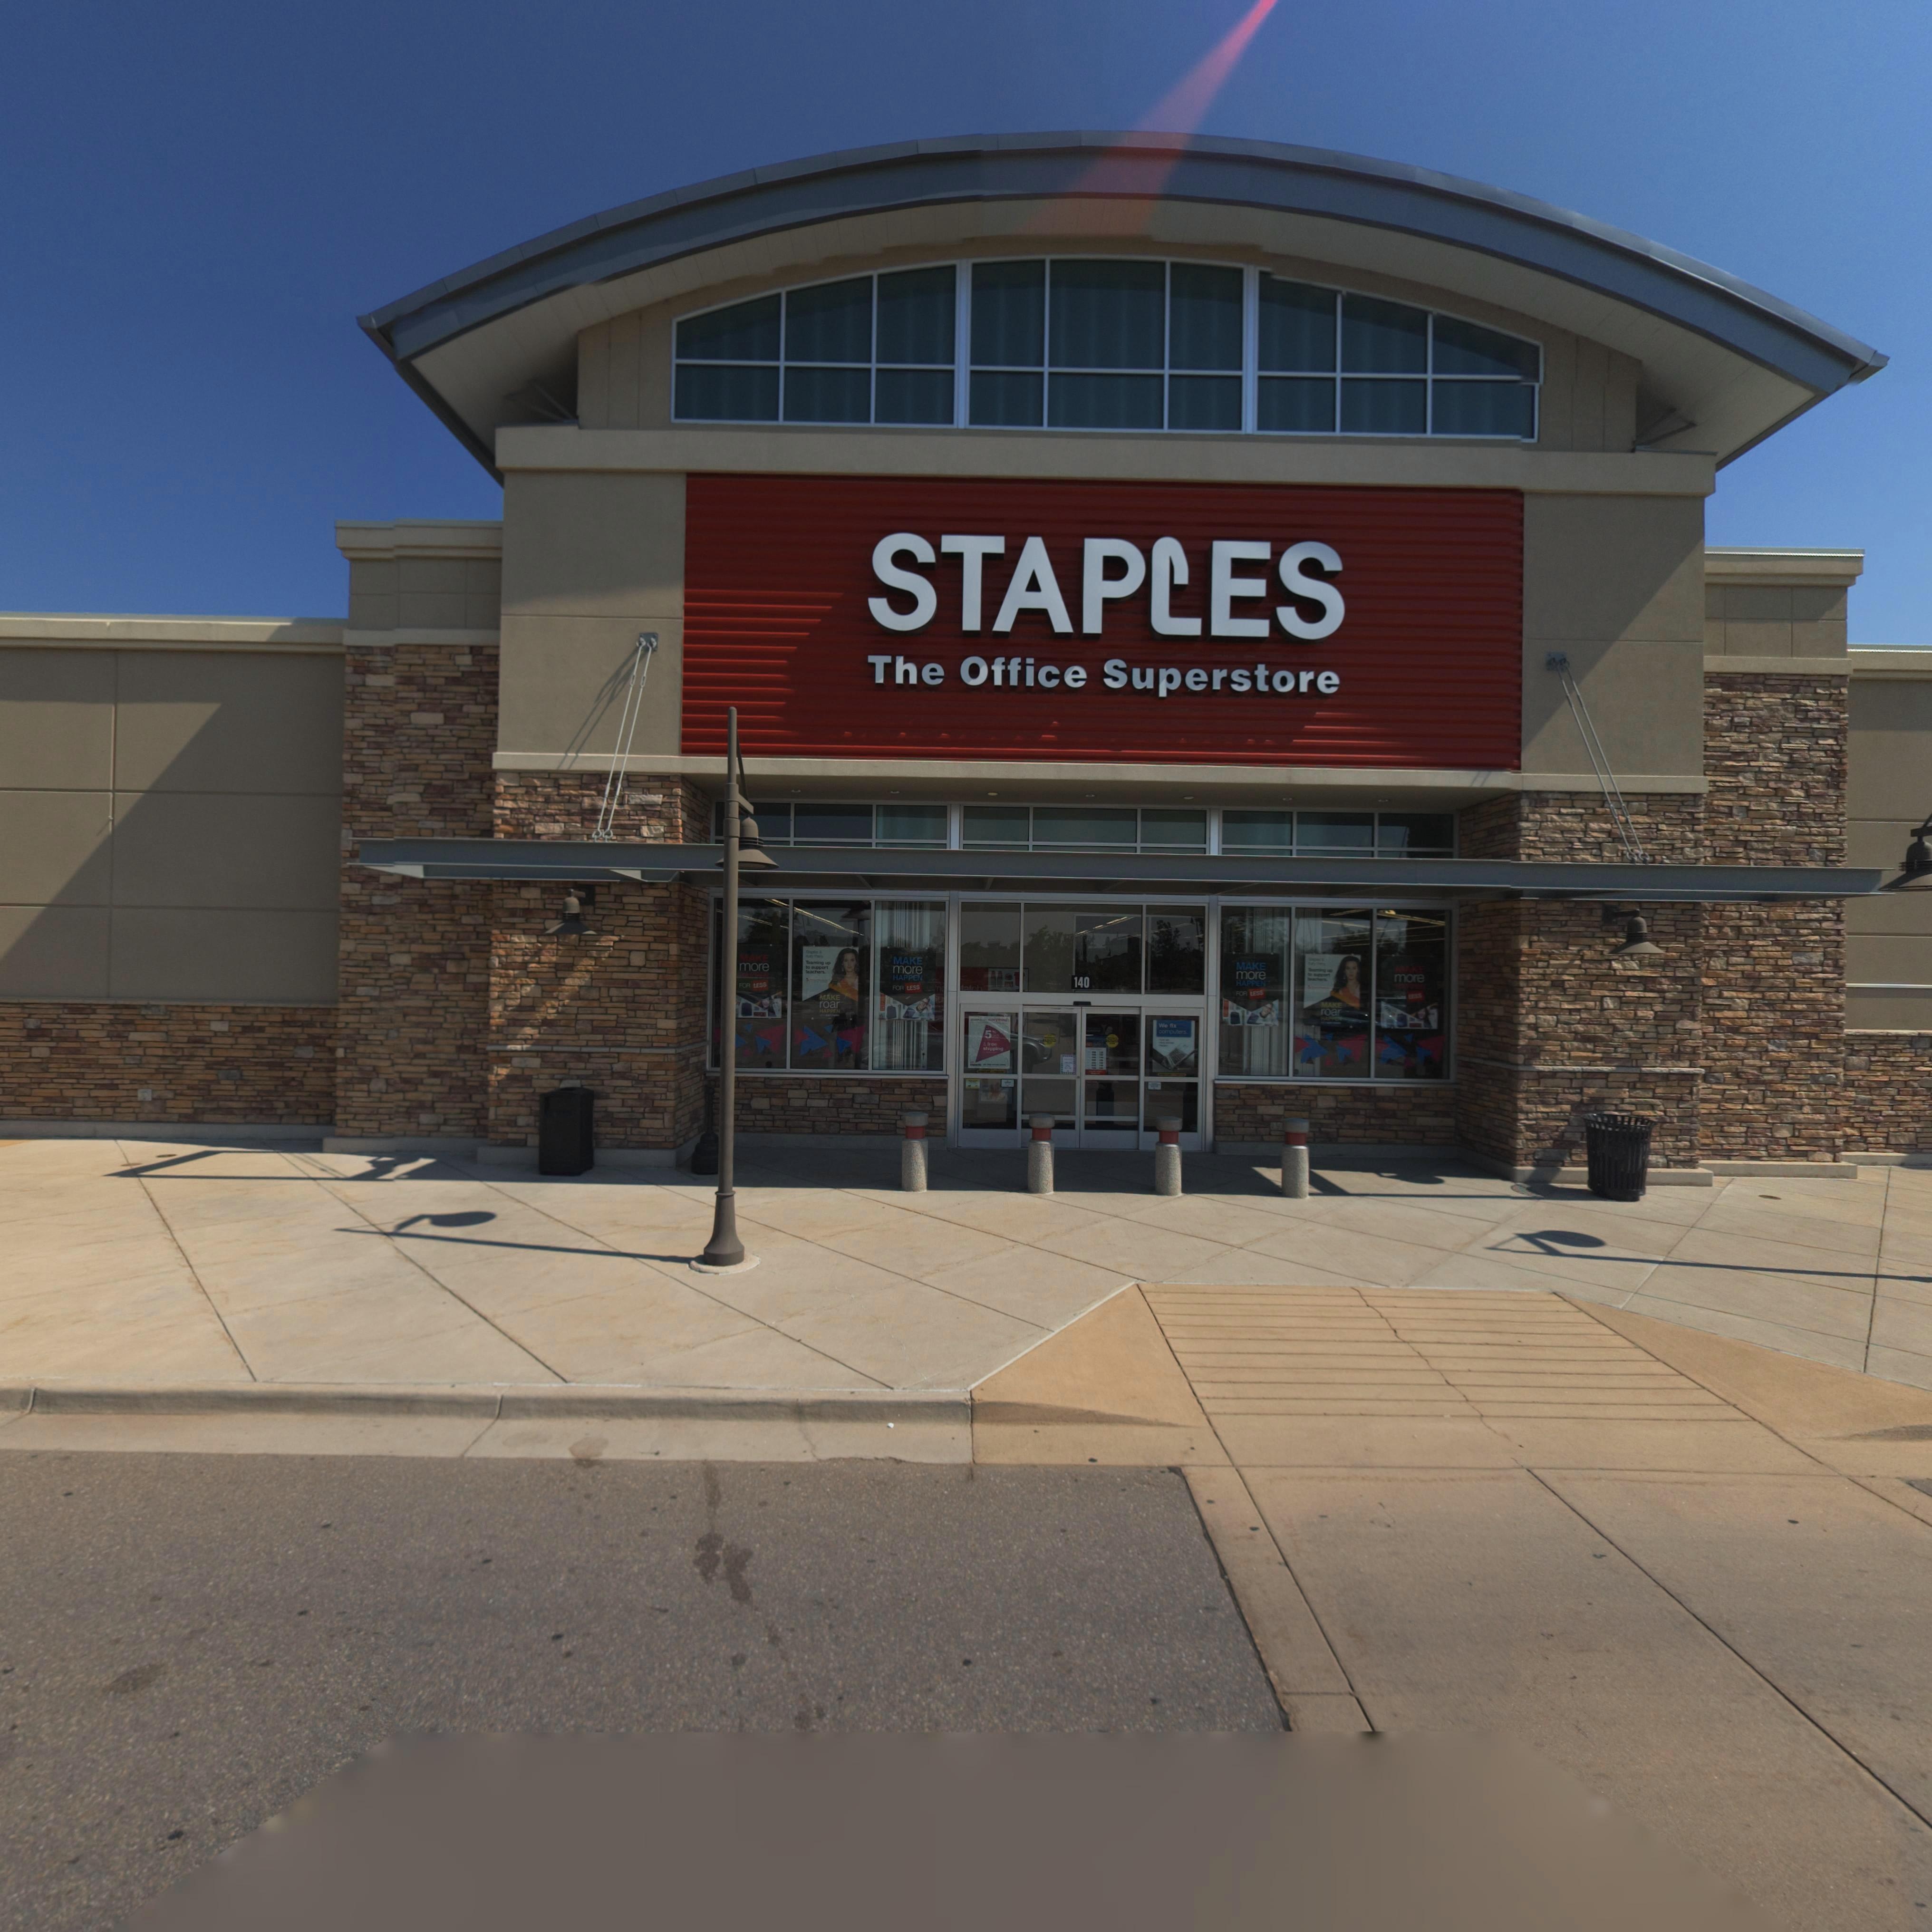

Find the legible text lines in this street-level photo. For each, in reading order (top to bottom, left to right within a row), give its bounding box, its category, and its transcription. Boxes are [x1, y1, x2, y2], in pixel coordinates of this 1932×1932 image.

[866, 530, 1344, 645] BusinessName: STAPLES
[868, 654, 1341, 697] BusinessName: The Office Superstore